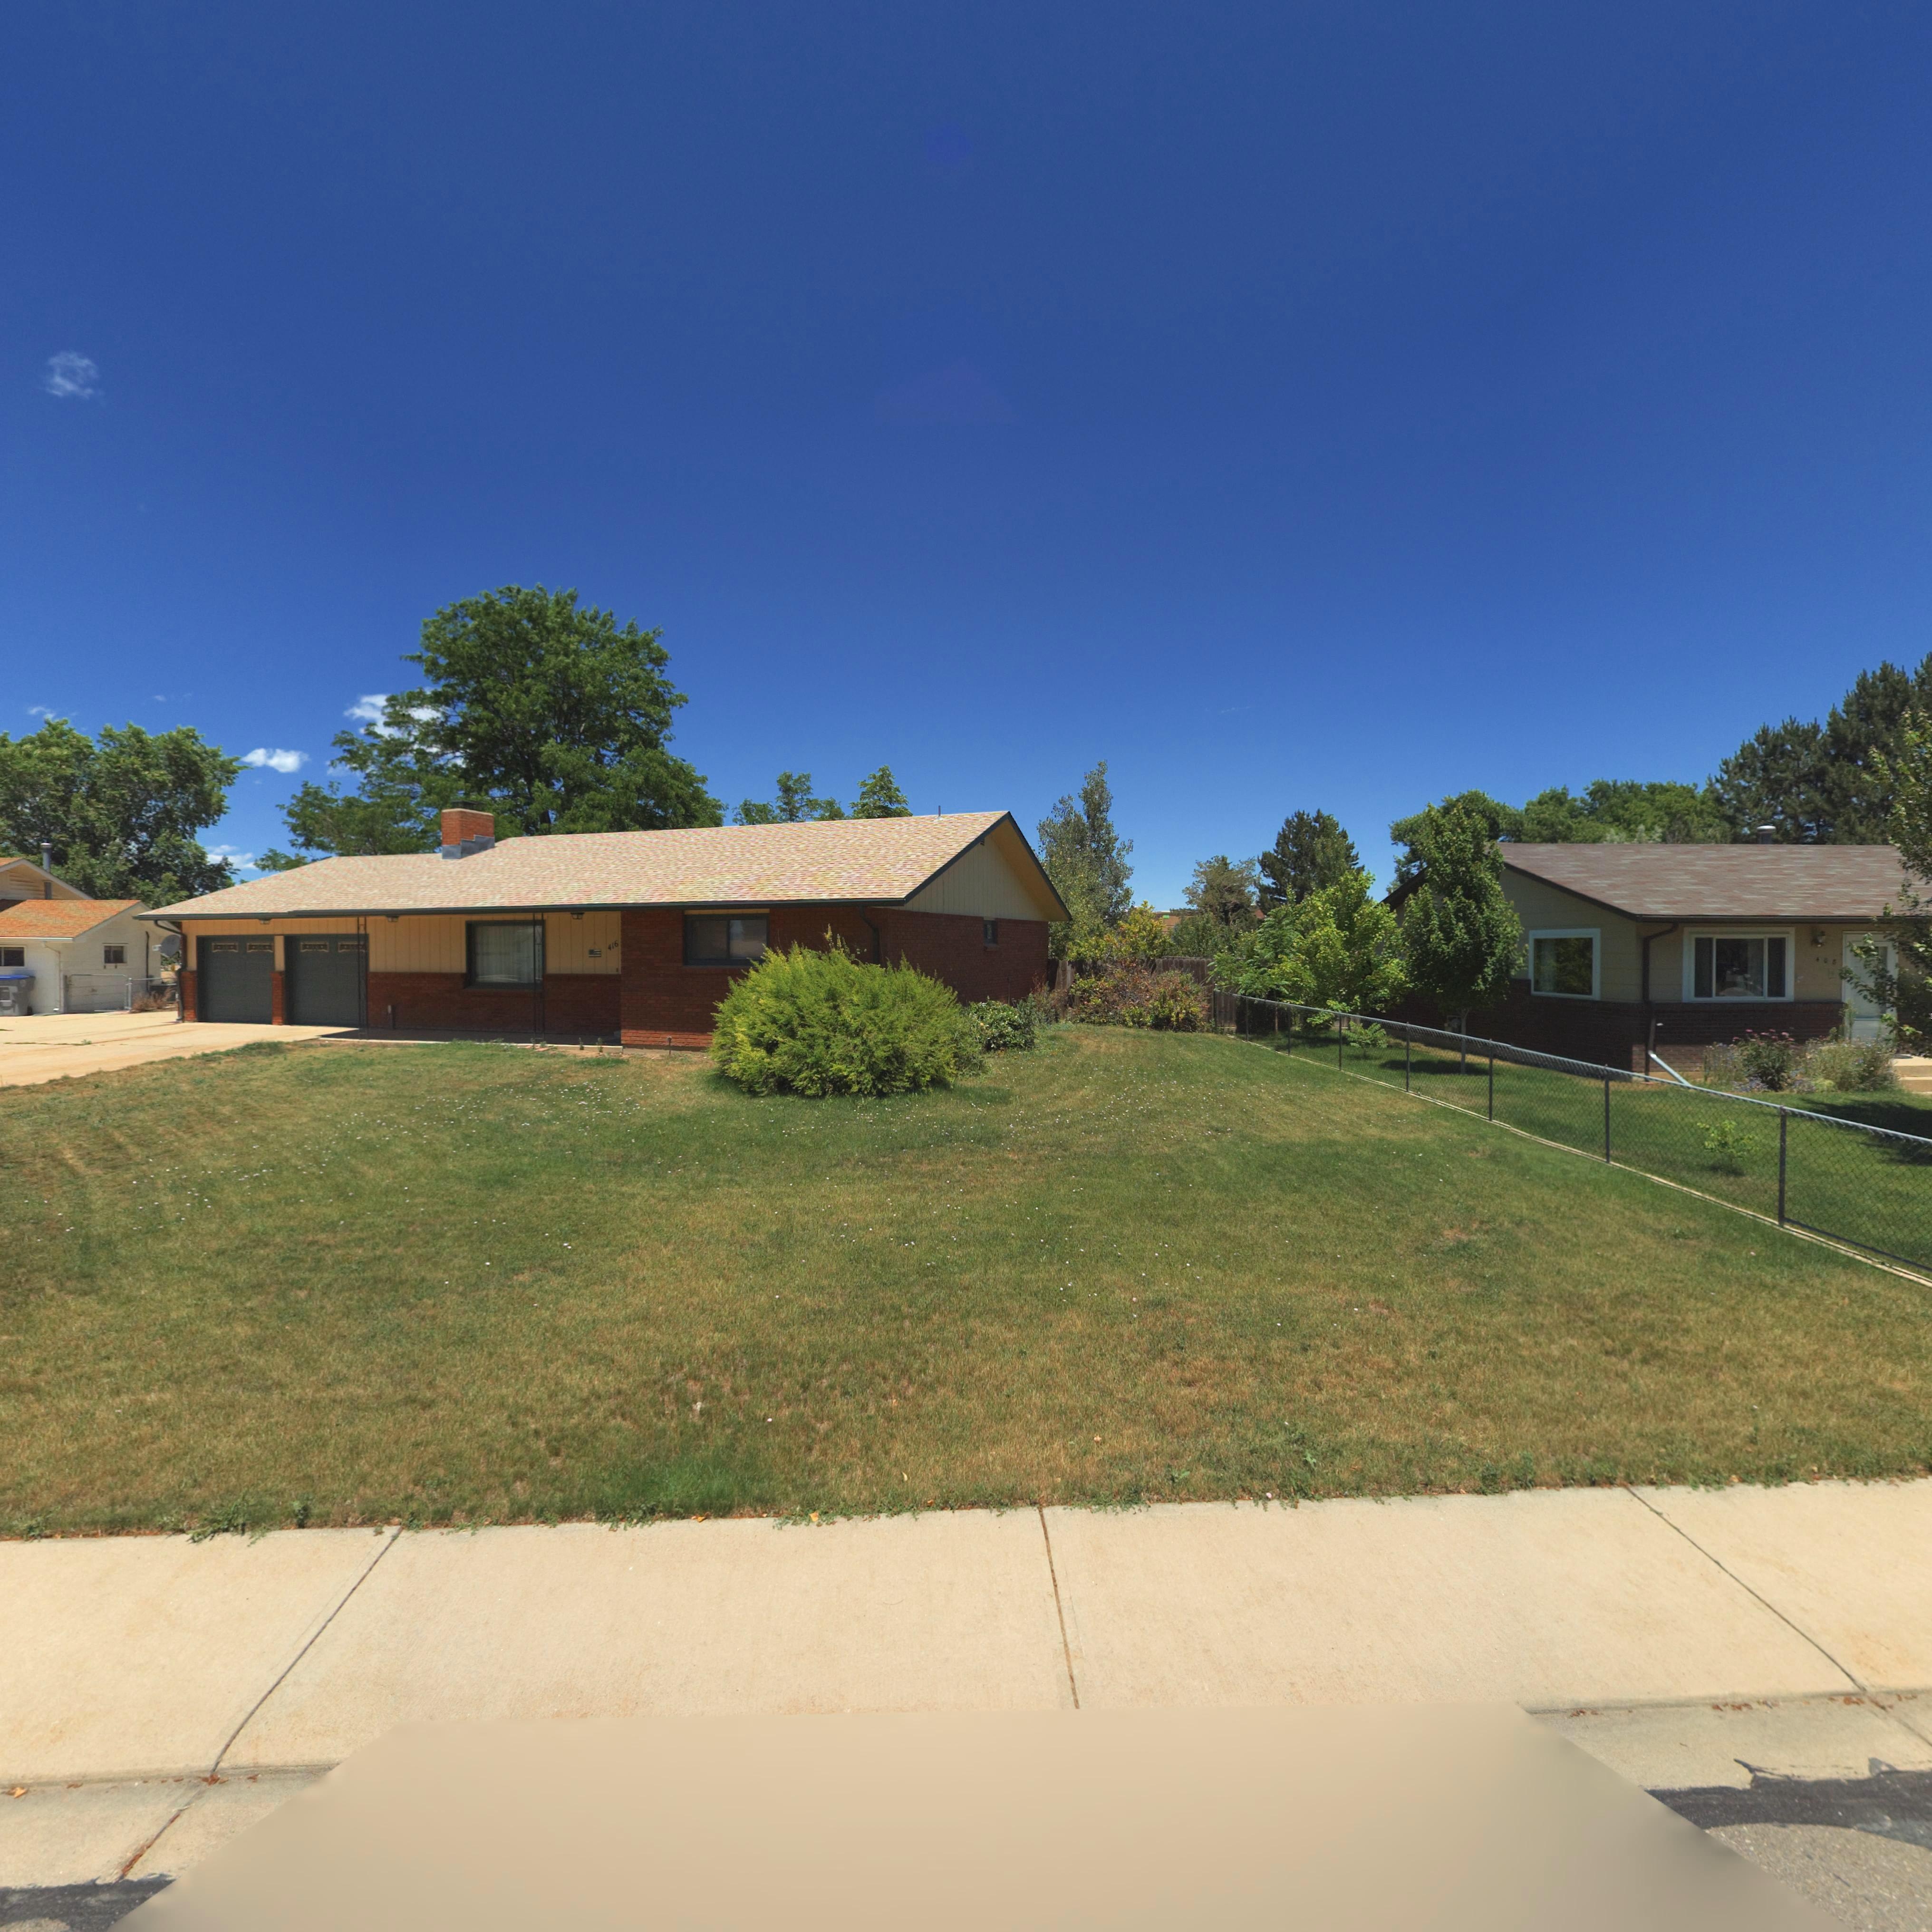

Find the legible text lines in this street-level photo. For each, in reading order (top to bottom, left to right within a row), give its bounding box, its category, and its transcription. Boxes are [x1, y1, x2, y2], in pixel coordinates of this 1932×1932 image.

[607, 939, 618, 951] StreetNumber: 416
[1815, 956, 1837, 966] StreetNumber: 408